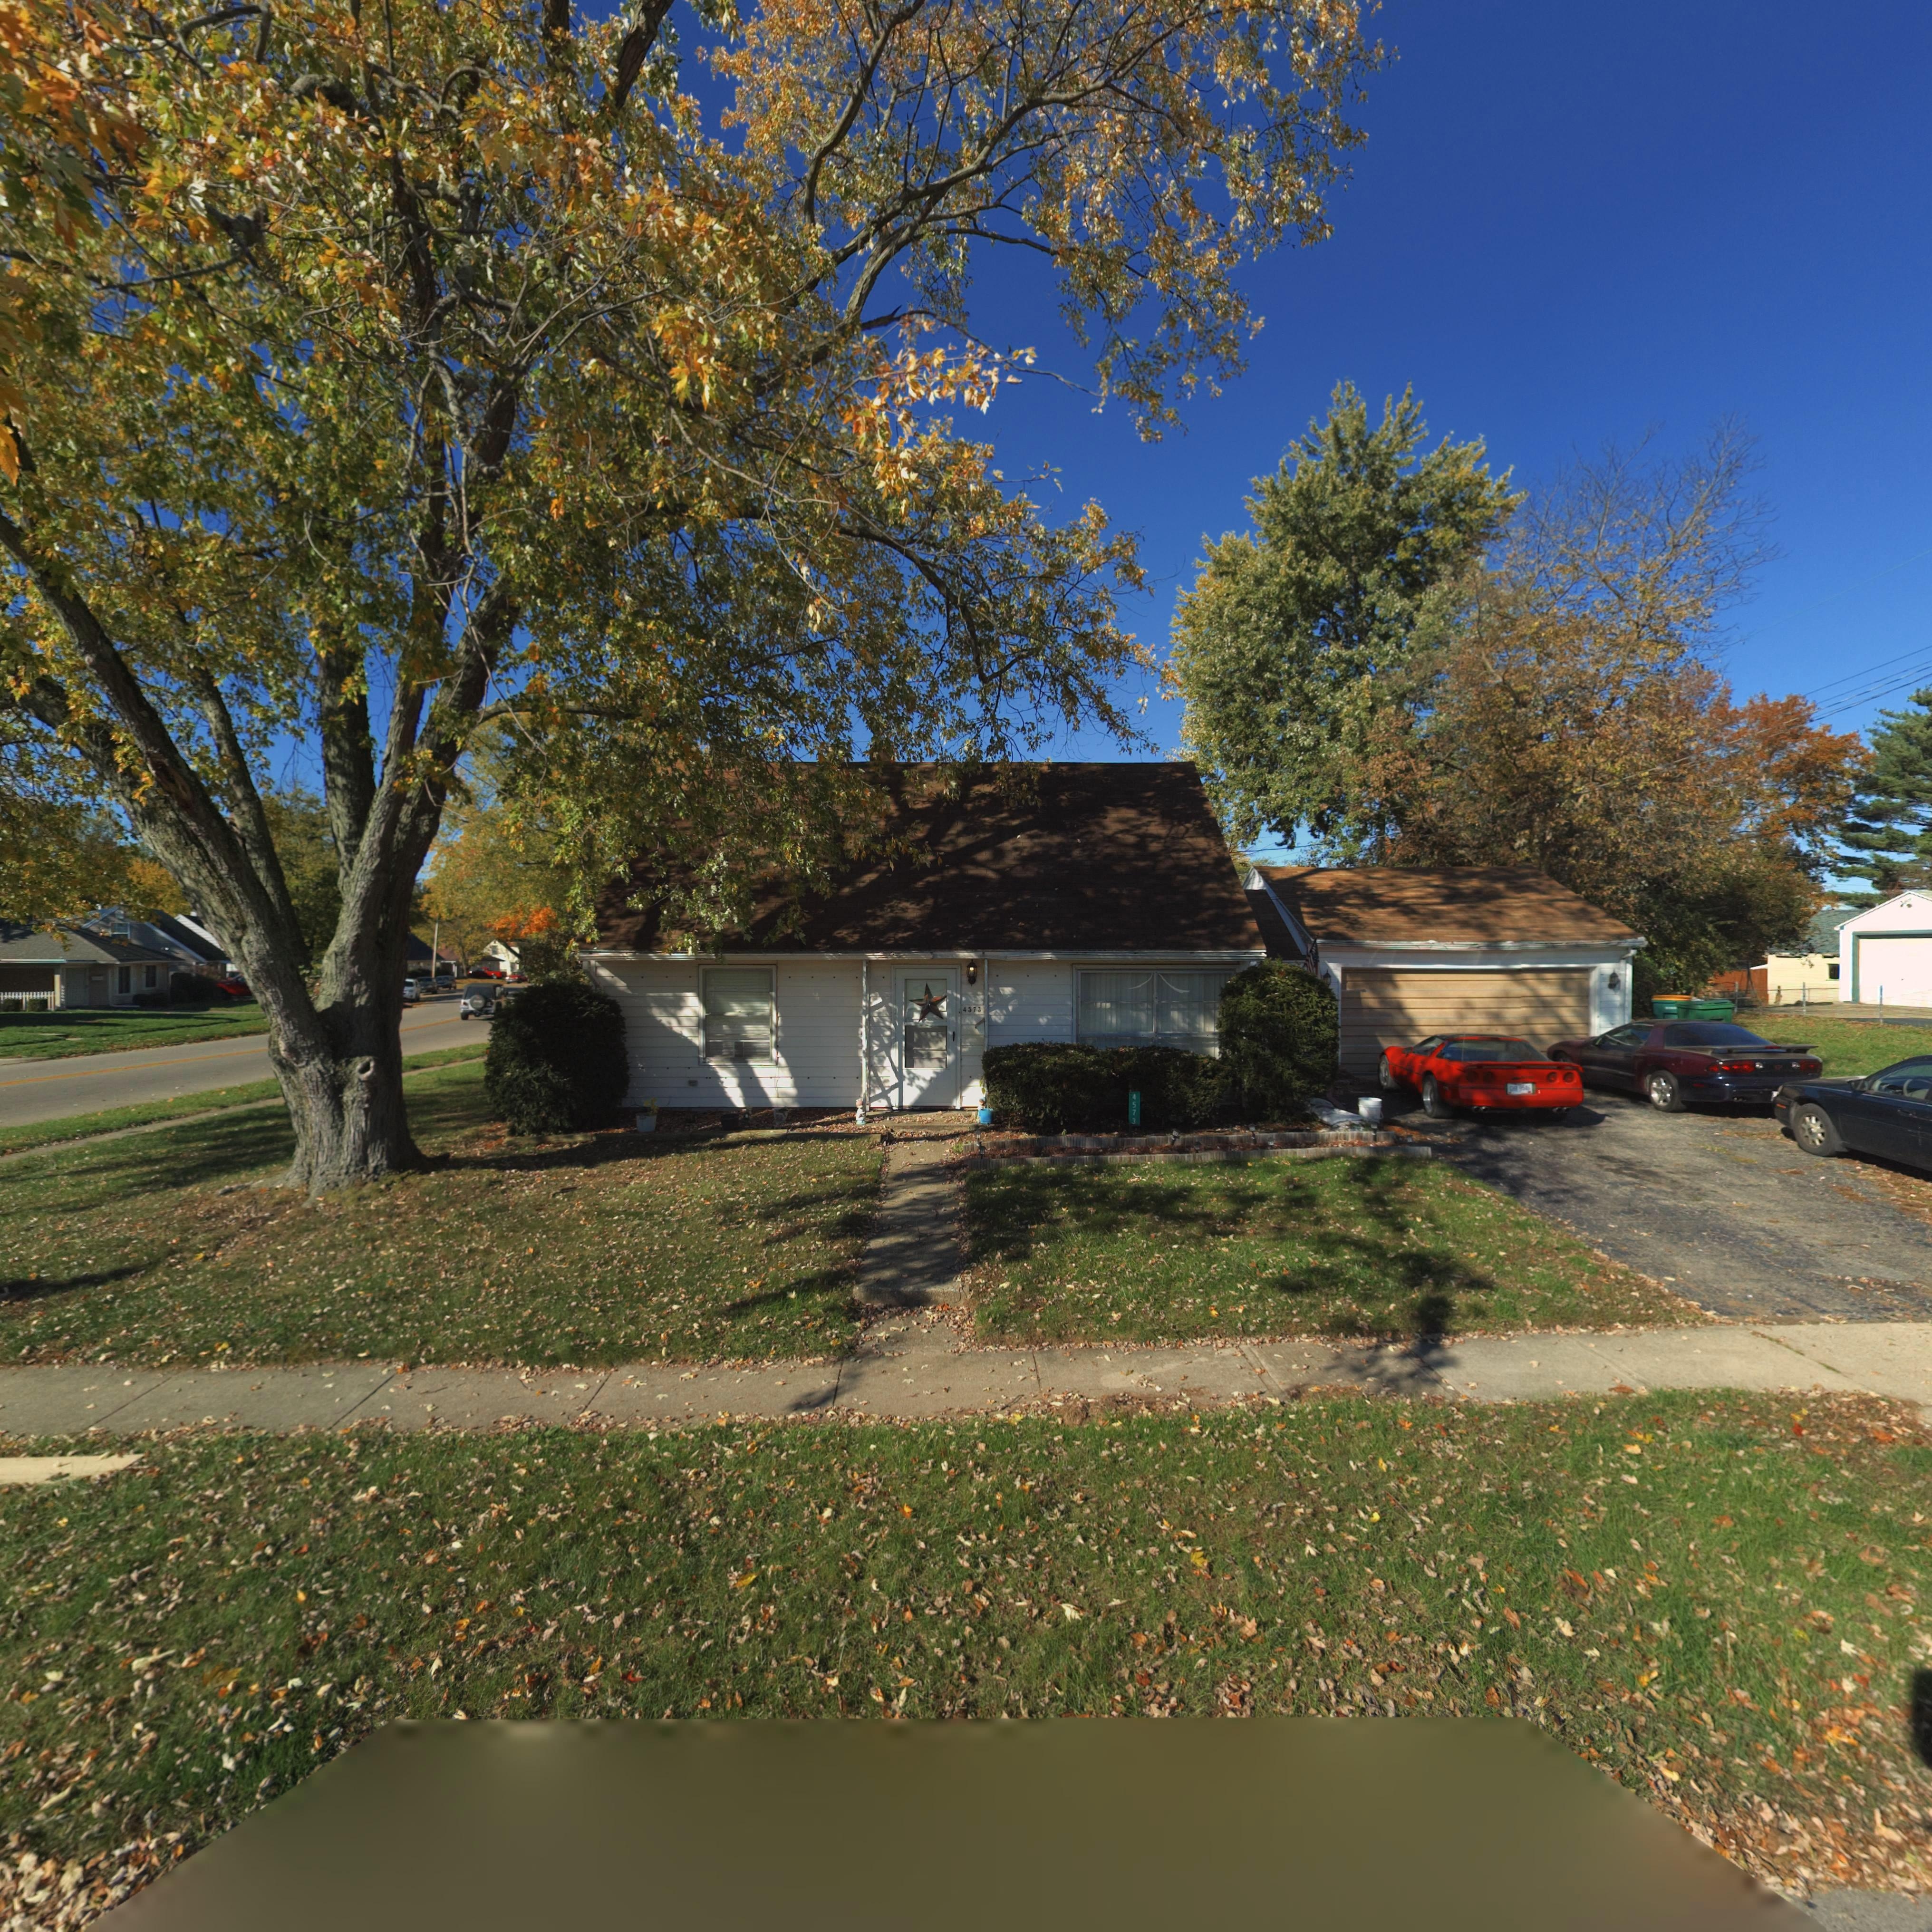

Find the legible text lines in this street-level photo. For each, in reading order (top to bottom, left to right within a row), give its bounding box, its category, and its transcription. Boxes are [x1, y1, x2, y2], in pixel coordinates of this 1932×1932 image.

[962, 1006, 981, 1013] StreetNumber: 4573
[1131, 1093, 1137, 1125] StreetNumber: 4573